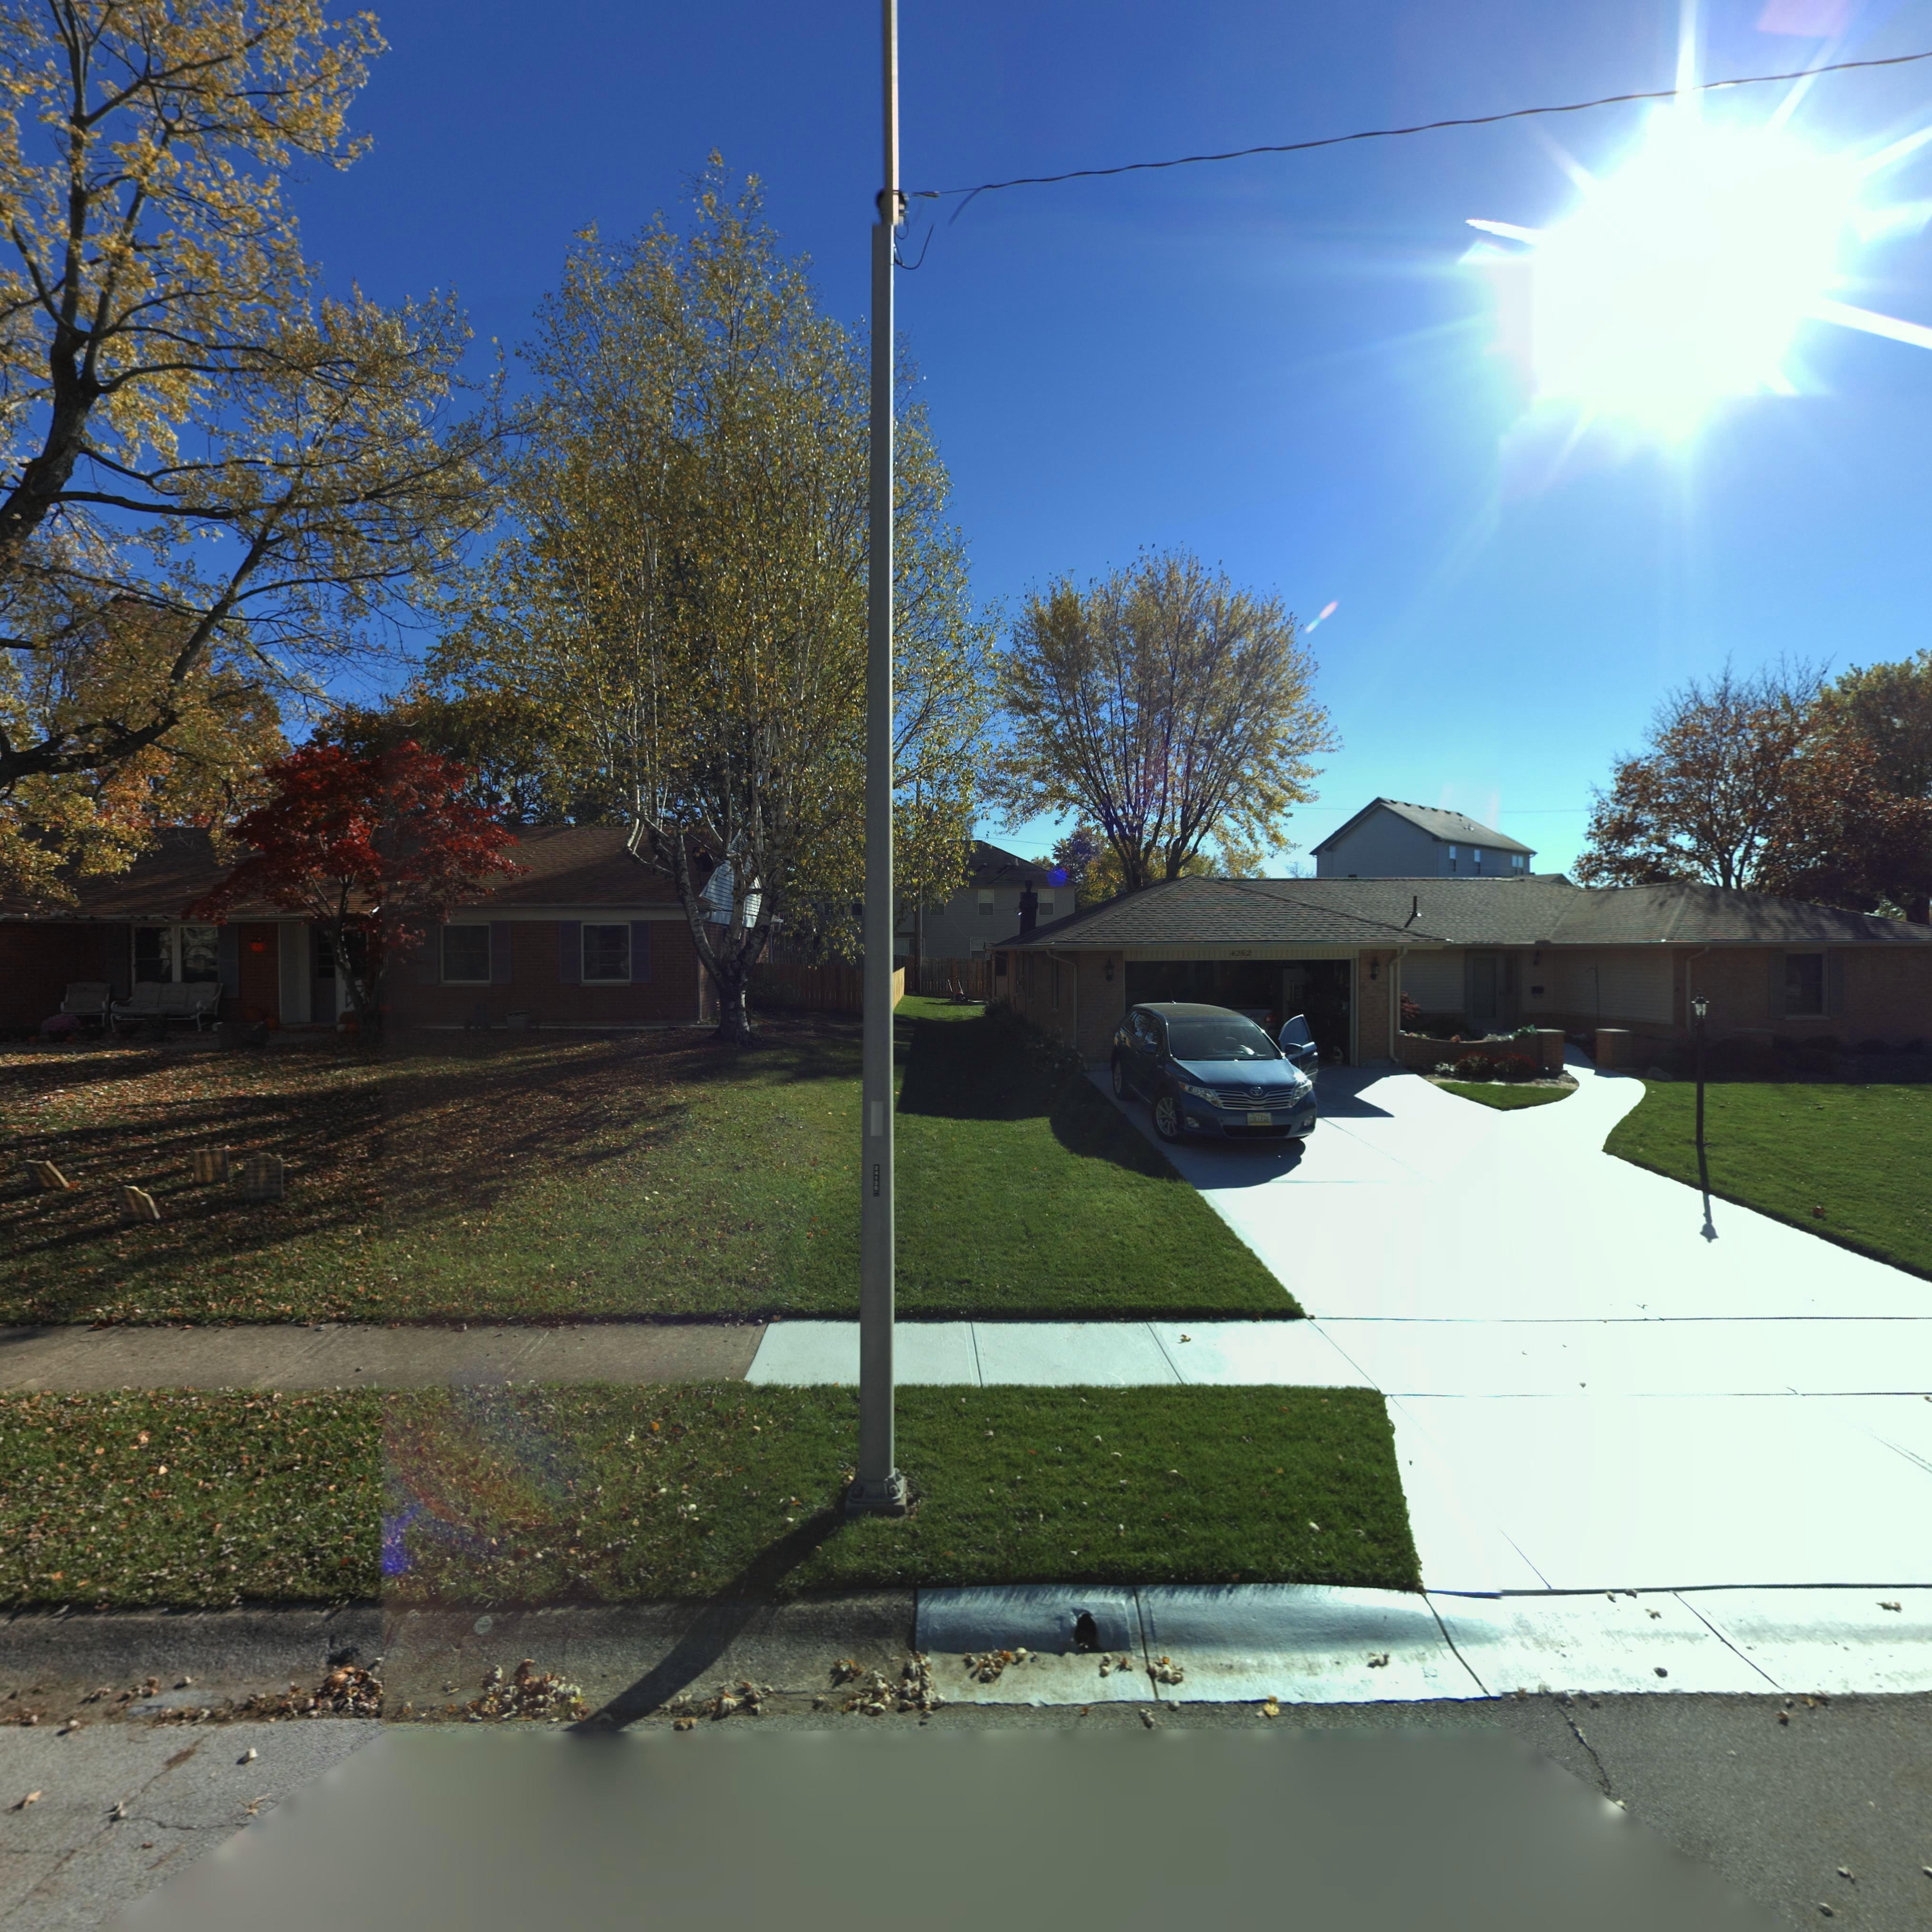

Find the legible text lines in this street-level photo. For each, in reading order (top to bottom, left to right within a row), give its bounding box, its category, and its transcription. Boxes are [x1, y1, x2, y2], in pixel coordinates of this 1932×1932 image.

[1229, 948, 1252, 958] StreetNumber: 4262
[1248, 1116, 1271, 1124] None: COLLEGE